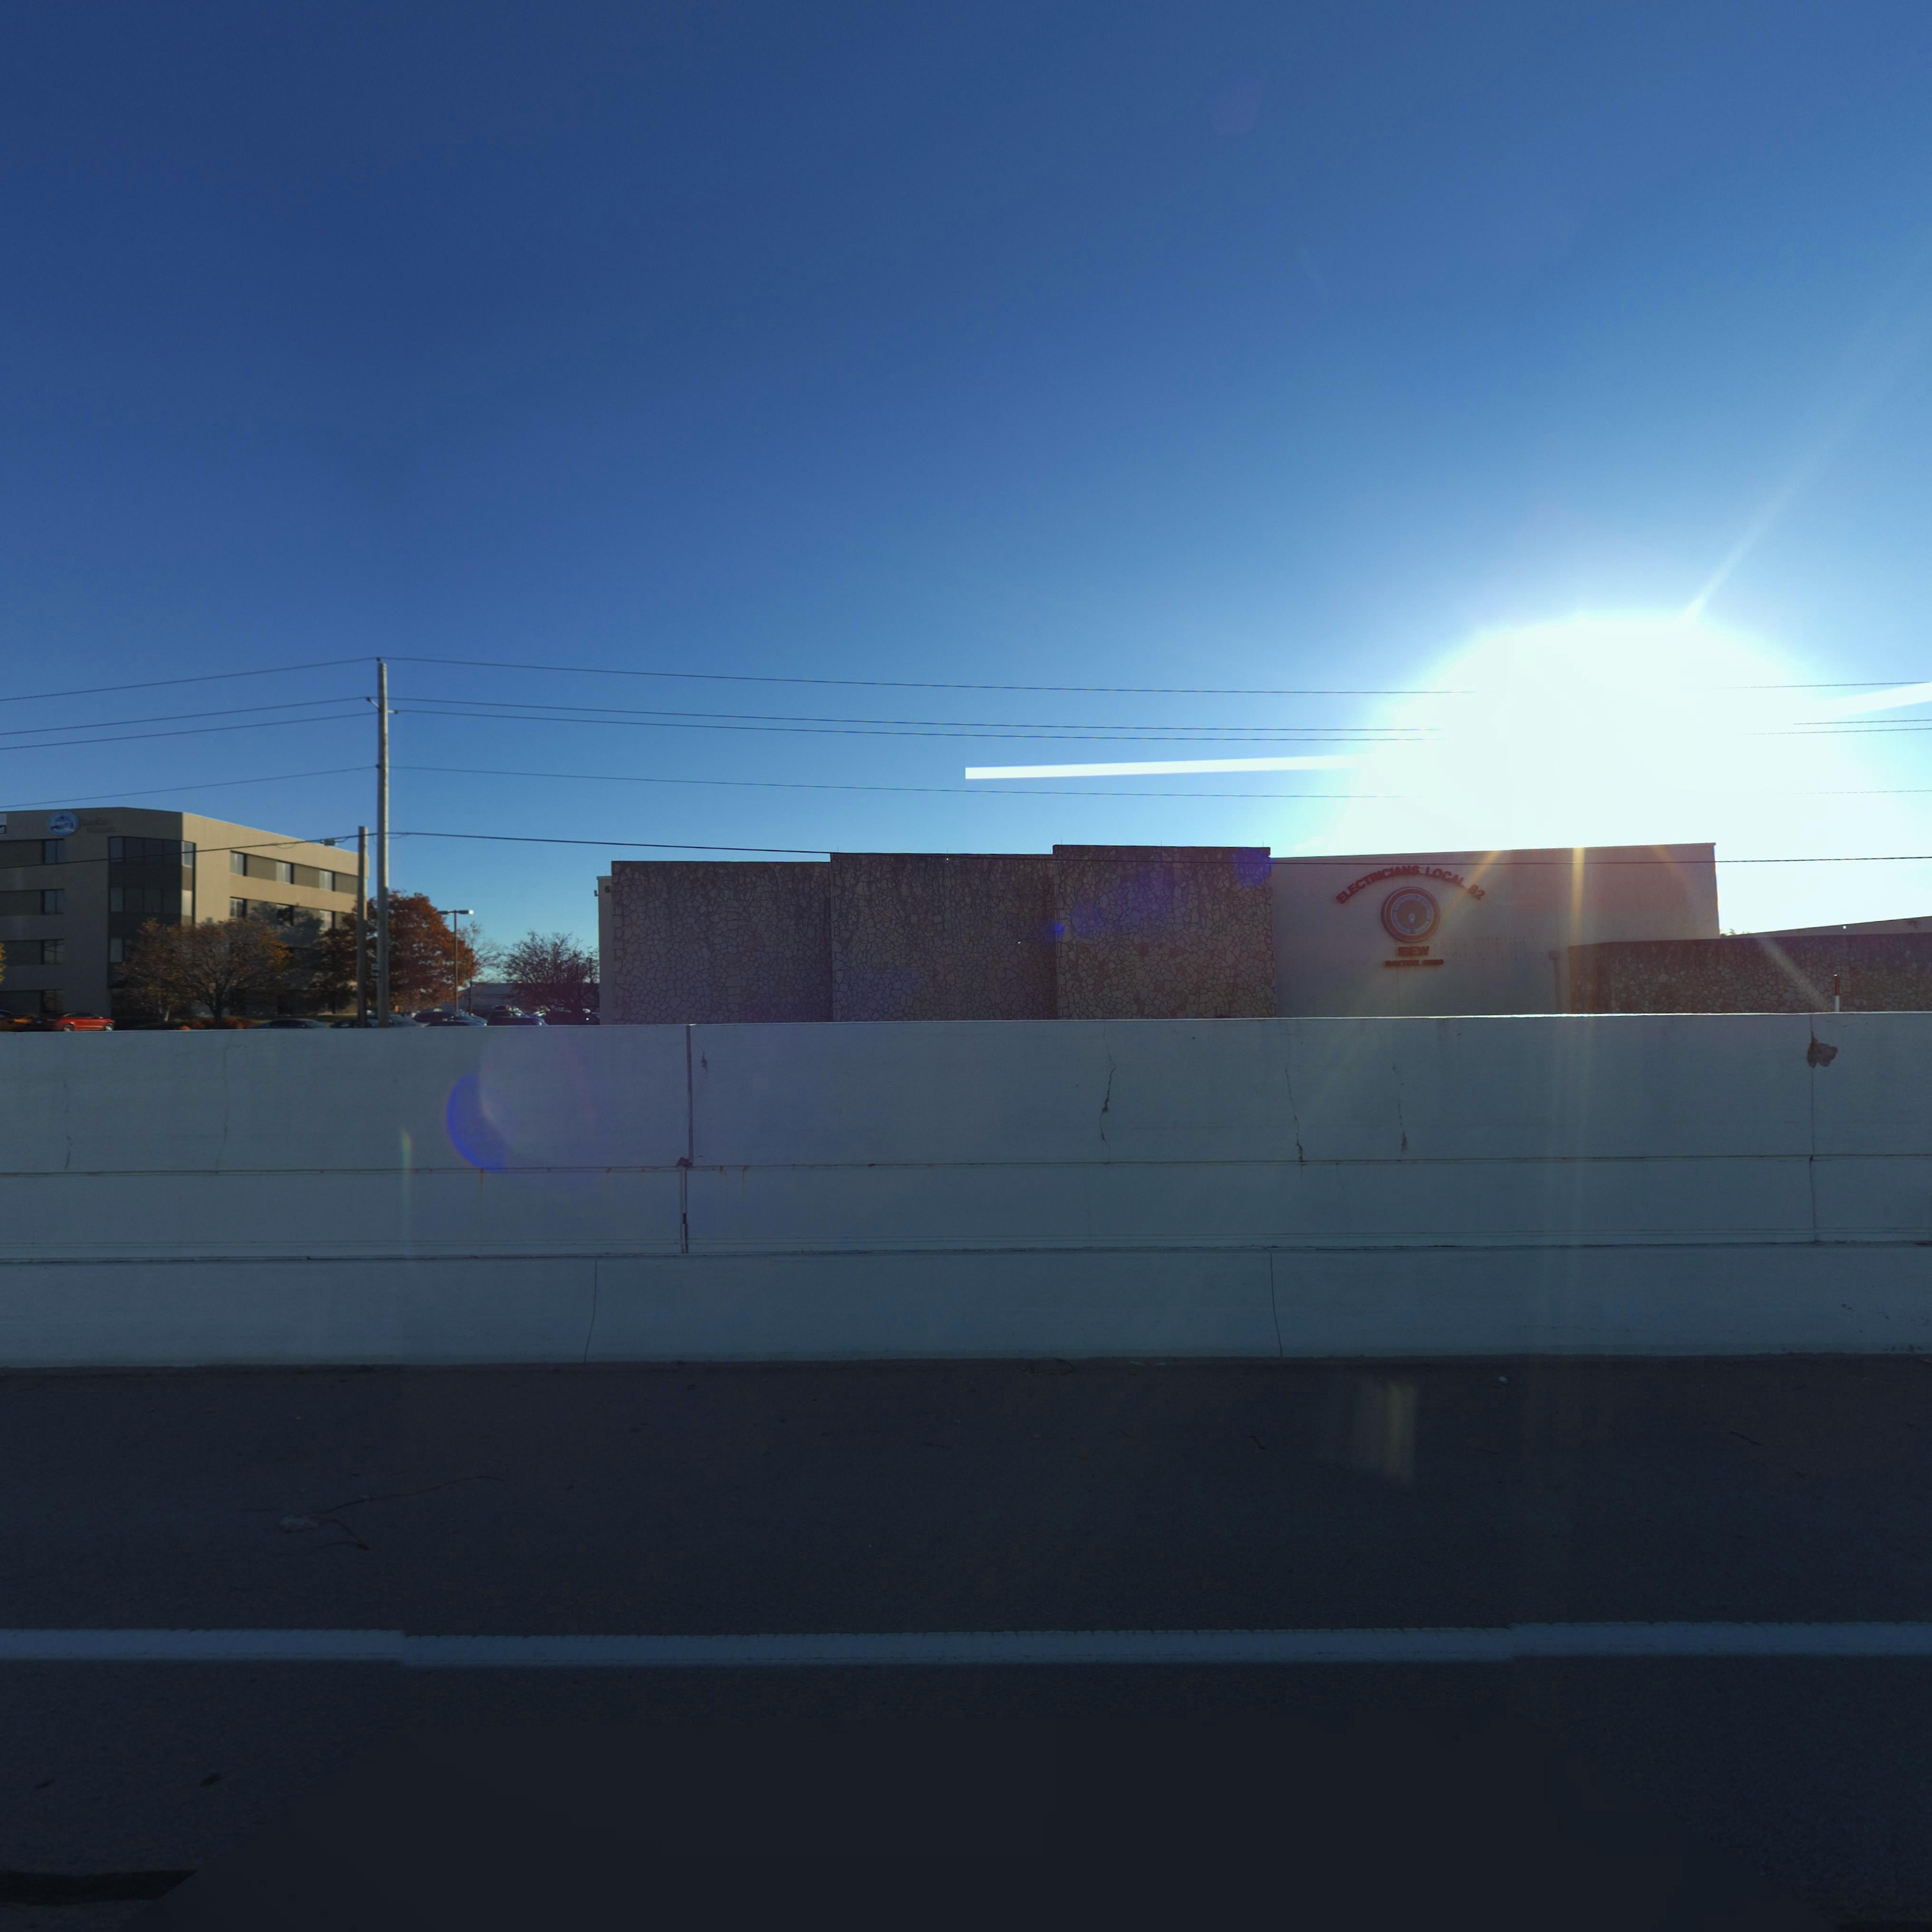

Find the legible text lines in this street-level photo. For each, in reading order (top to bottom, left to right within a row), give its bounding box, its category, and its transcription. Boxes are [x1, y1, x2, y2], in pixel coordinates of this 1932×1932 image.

[603, 884, 612, 895] StreetNumber: 6
[1332, 864, 1488, 904] None: ELECTRICIANS LOCAL 82
[1397, 944, 1433, 957] None: *EW